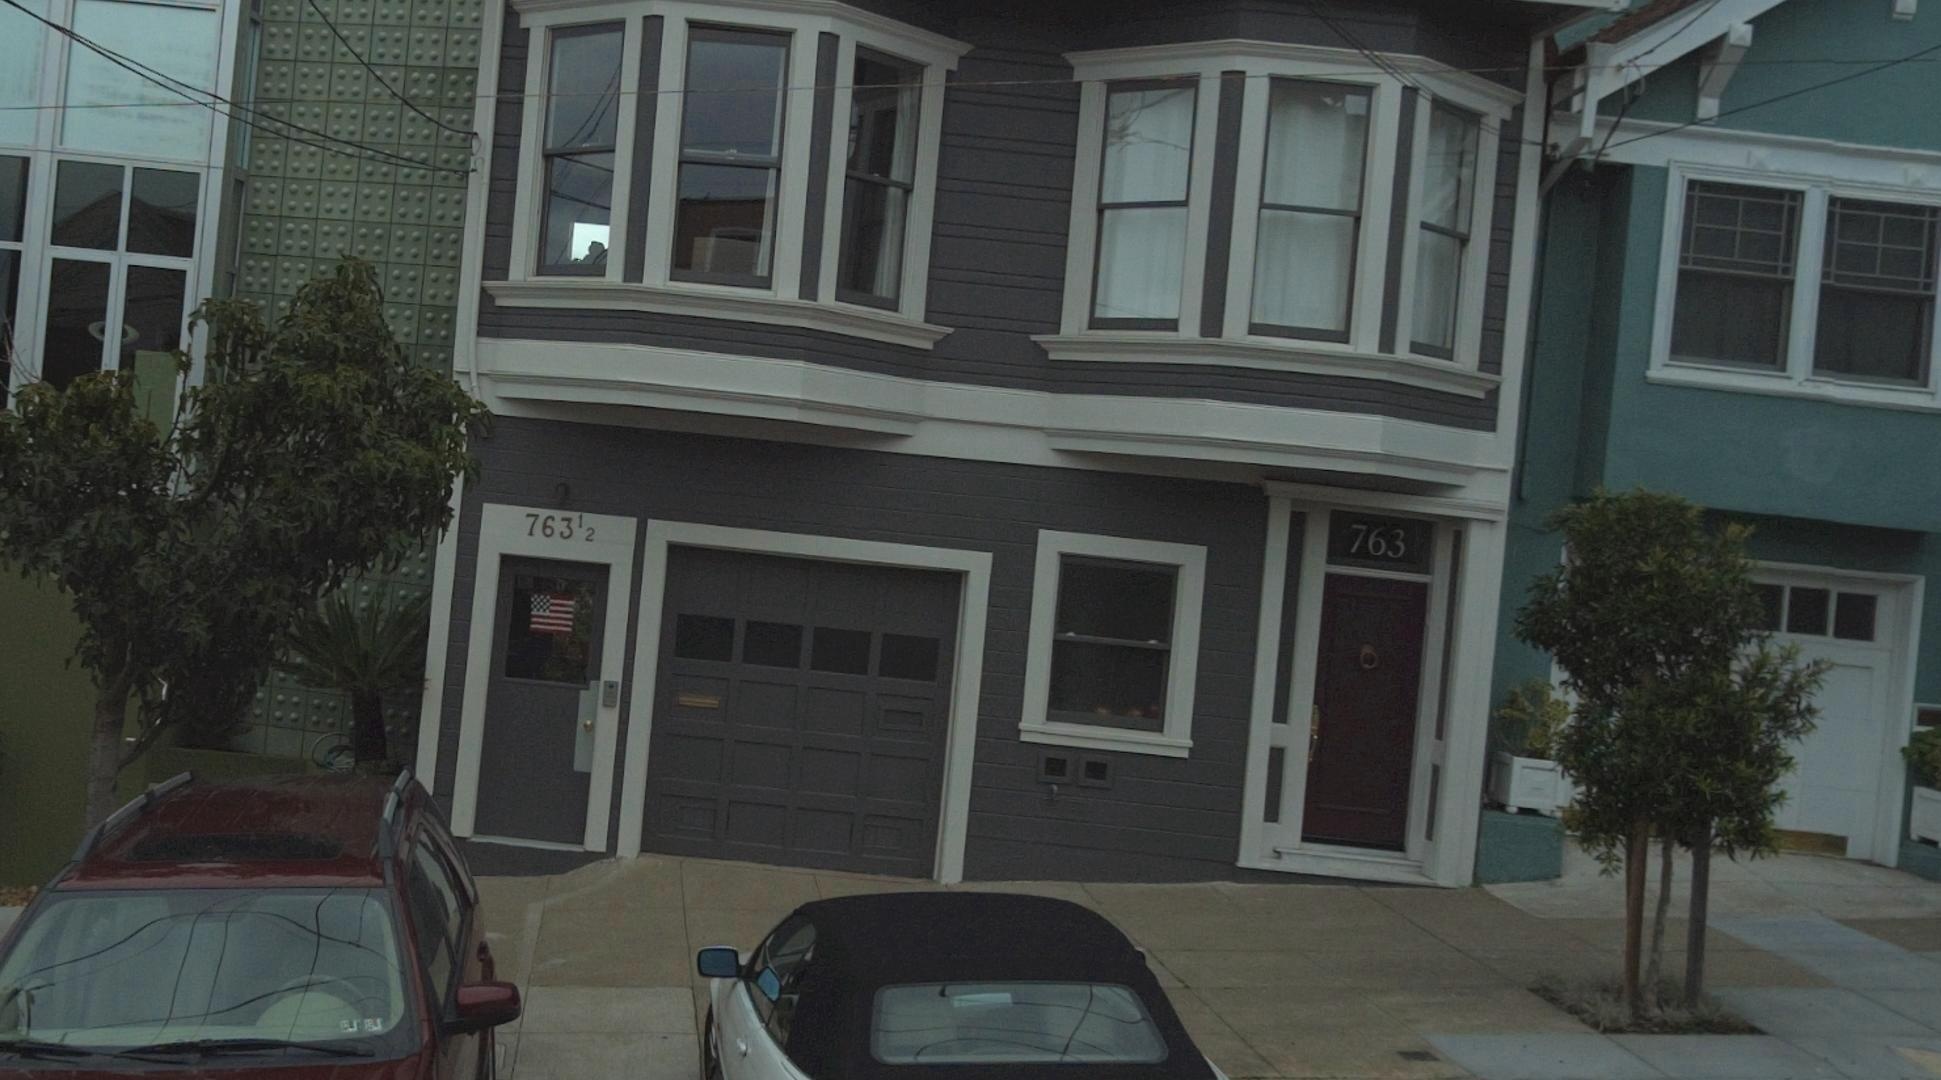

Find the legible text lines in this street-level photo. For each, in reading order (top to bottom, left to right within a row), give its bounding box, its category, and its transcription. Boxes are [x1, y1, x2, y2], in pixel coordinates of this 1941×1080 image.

[524, 510, 598, 544] StreetNumber: 763 1/2
[1348, 522, 1406, 559] StreetNumber: 763